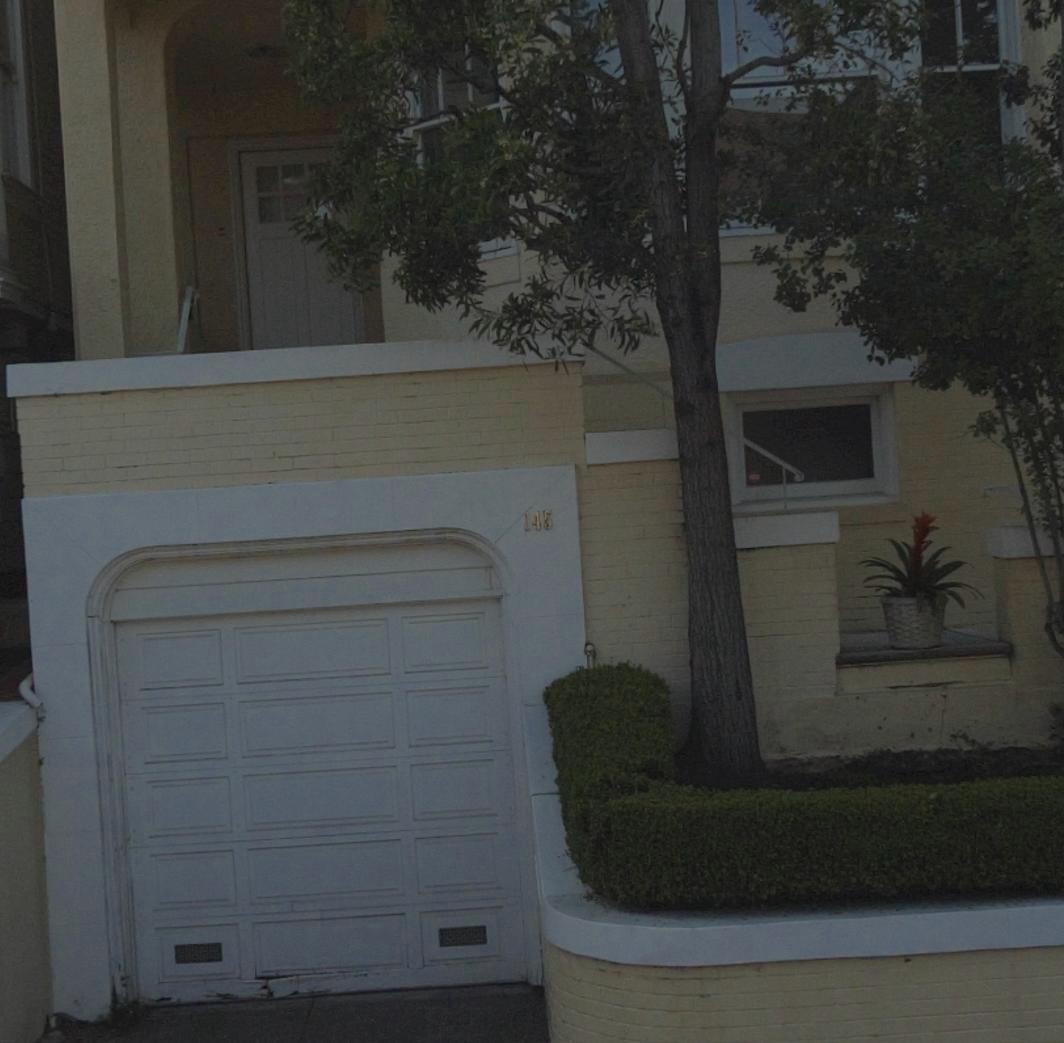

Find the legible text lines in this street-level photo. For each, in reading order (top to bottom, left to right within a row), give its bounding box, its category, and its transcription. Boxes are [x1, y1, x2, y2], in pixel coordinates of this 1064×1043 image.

[522, 507, 555, 534] StreetNumber: 145